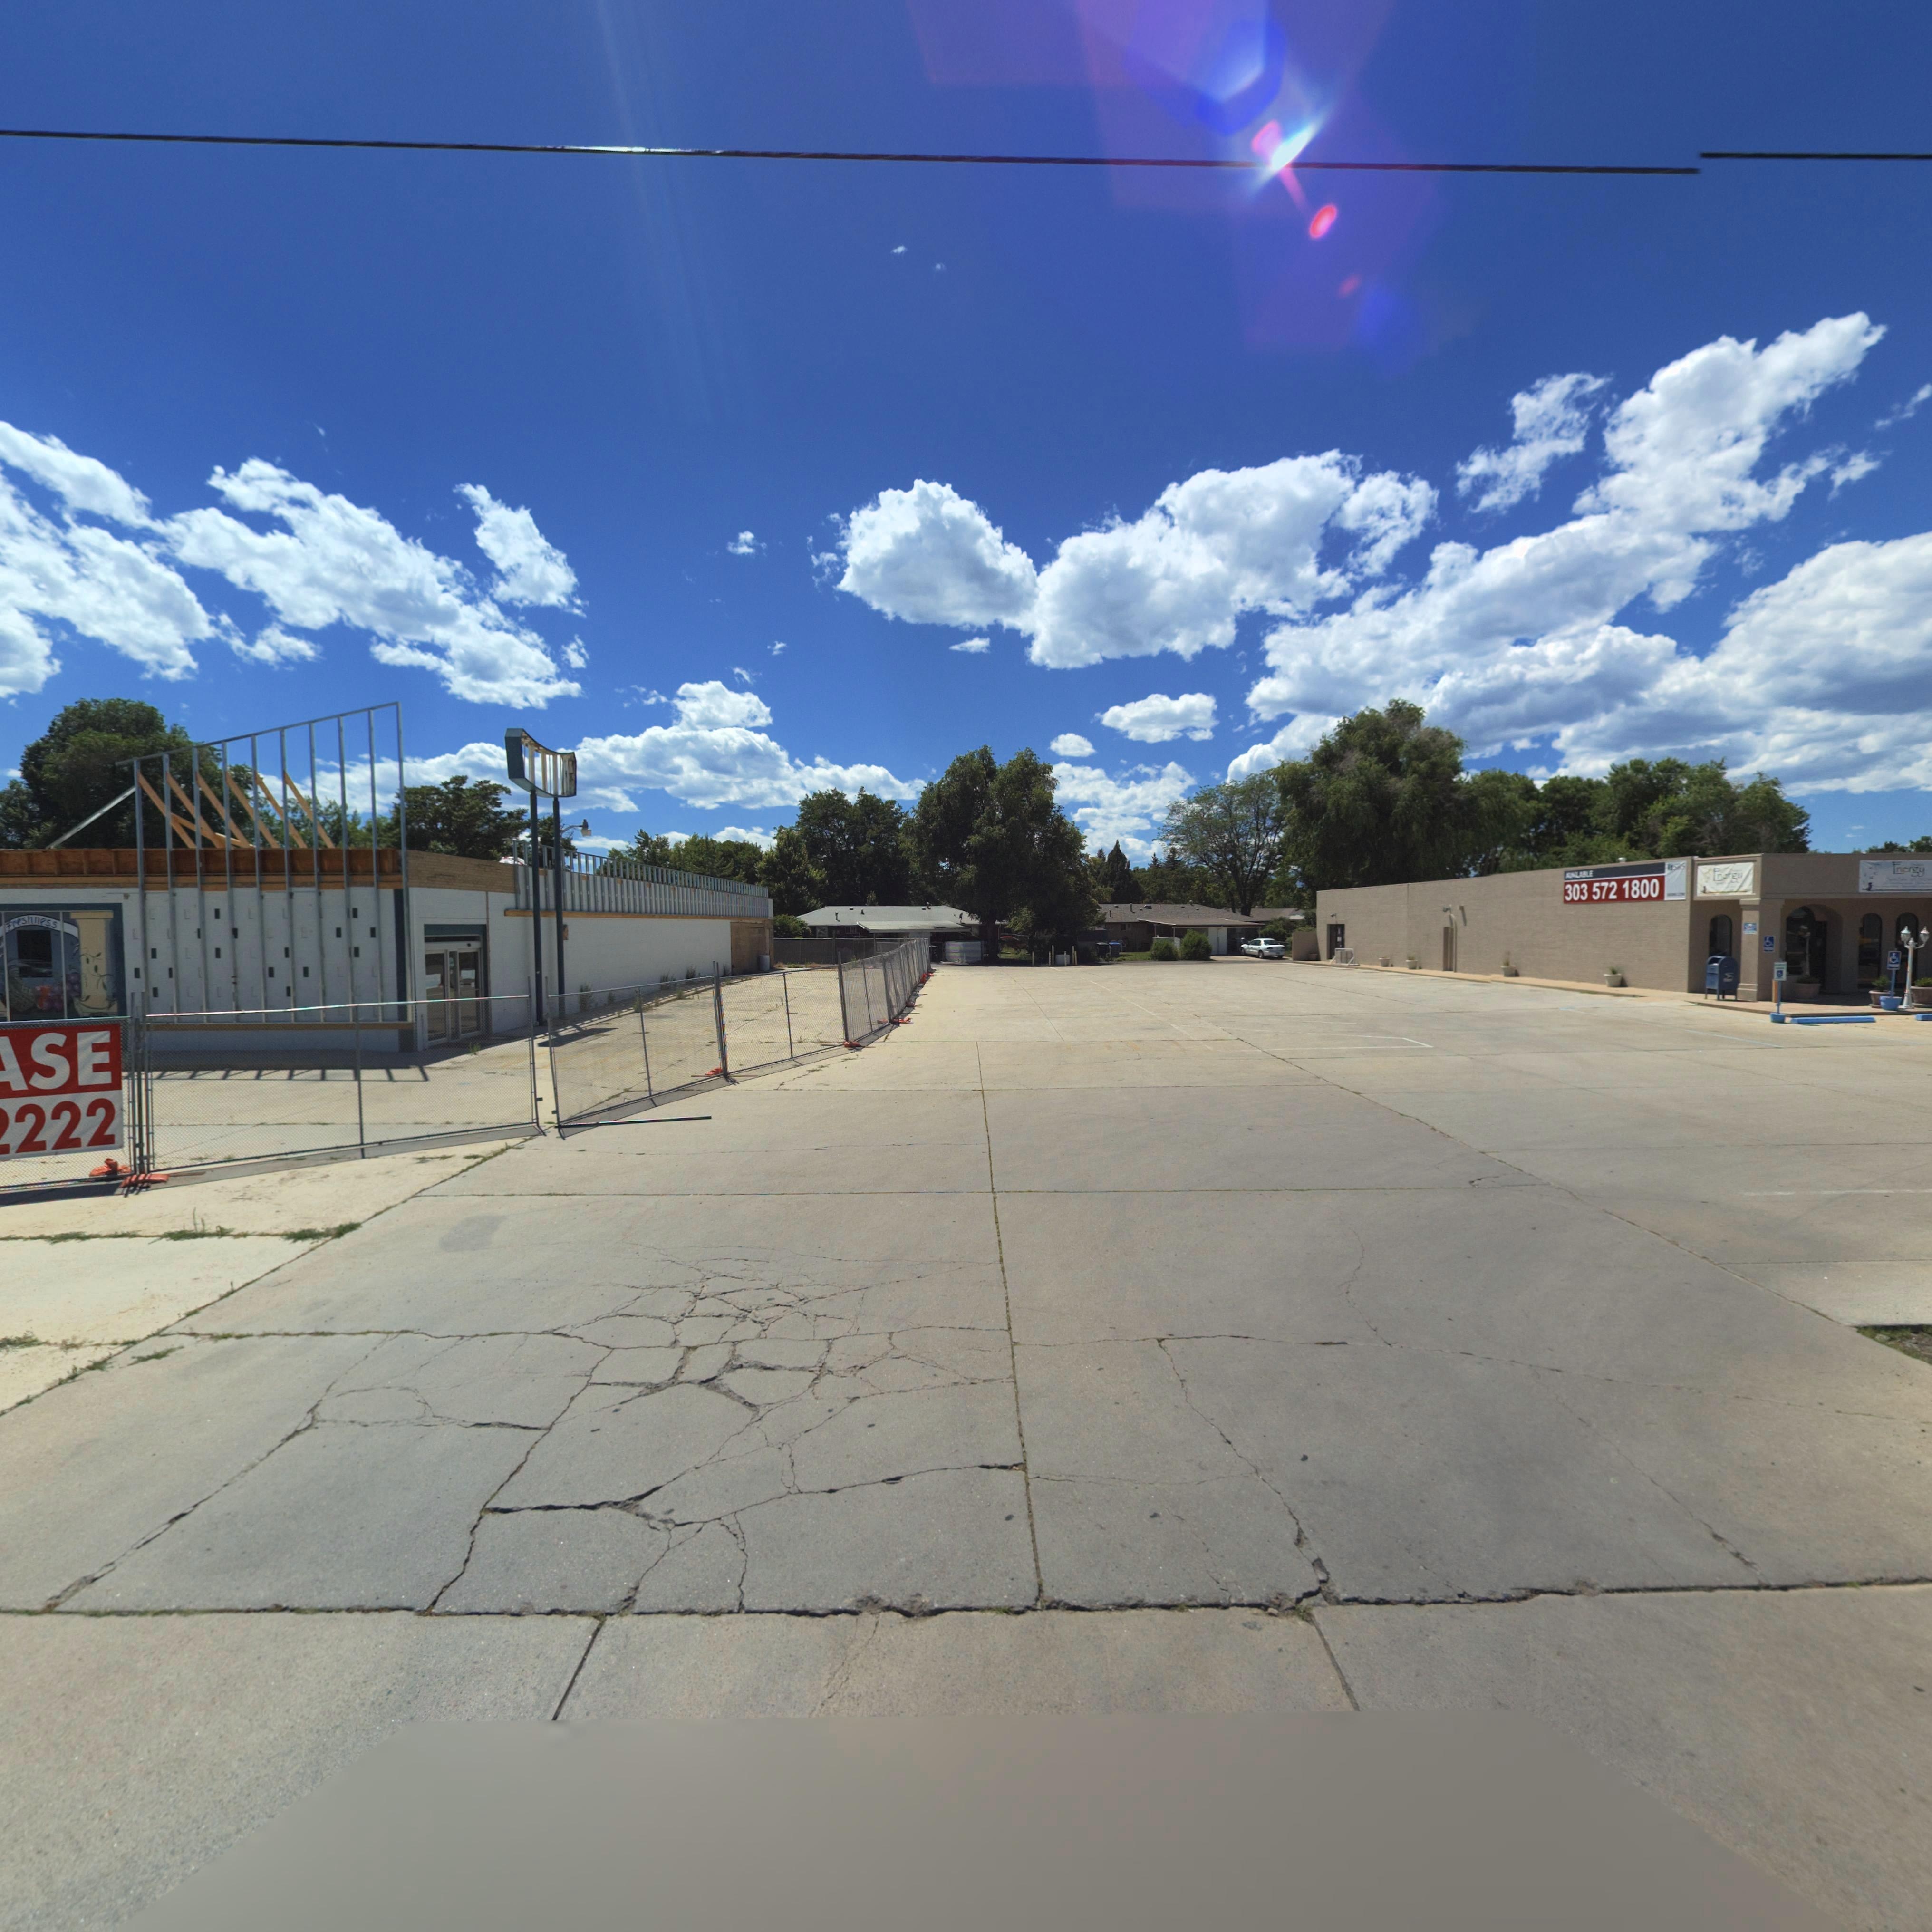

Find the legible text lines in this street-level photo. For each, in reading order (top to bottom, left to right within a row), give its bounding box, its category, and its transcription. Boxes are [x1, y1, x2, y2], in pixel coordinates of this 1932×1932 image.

[1712, 866, 1744, 884] BusinessName: Energy
[1891, 860, 1926, 878] BusinessName: Energy